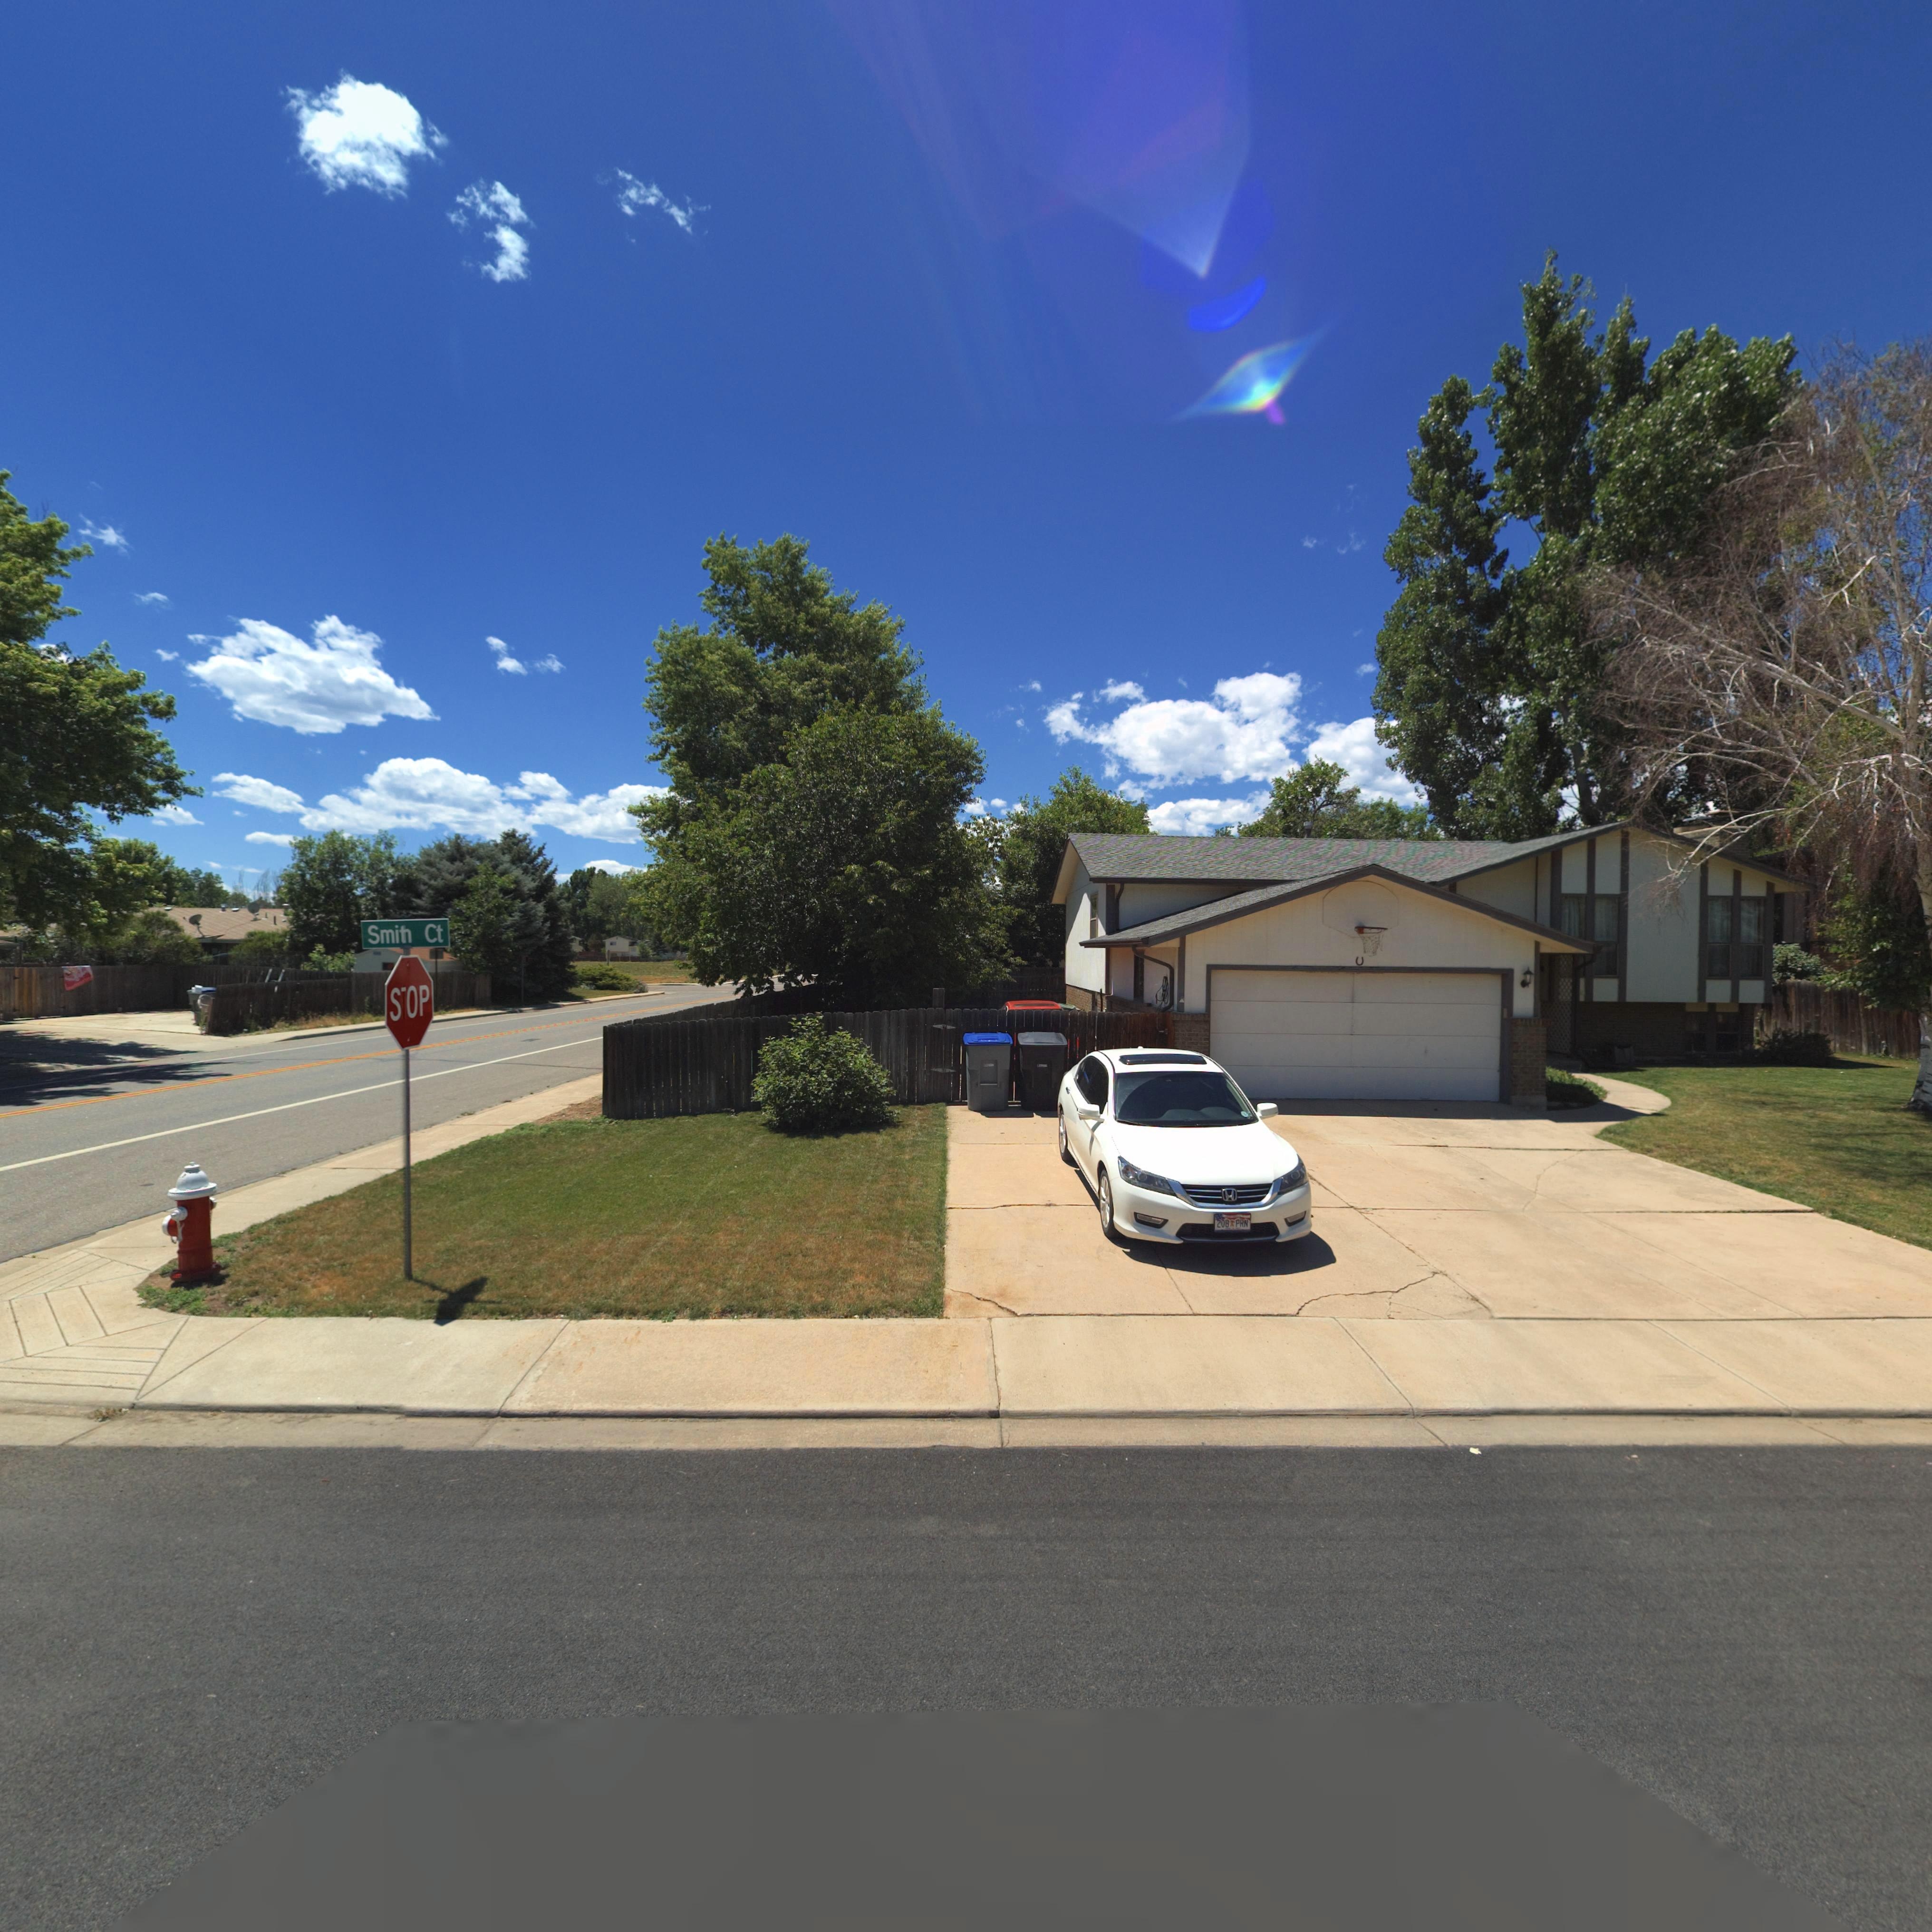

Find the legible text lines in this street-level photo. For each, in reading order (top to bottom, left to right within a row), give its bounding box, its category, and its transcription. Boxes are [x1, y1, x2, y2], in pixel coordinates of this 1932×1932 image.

[367, 923, 444, 945] StreetName: Smith Ct